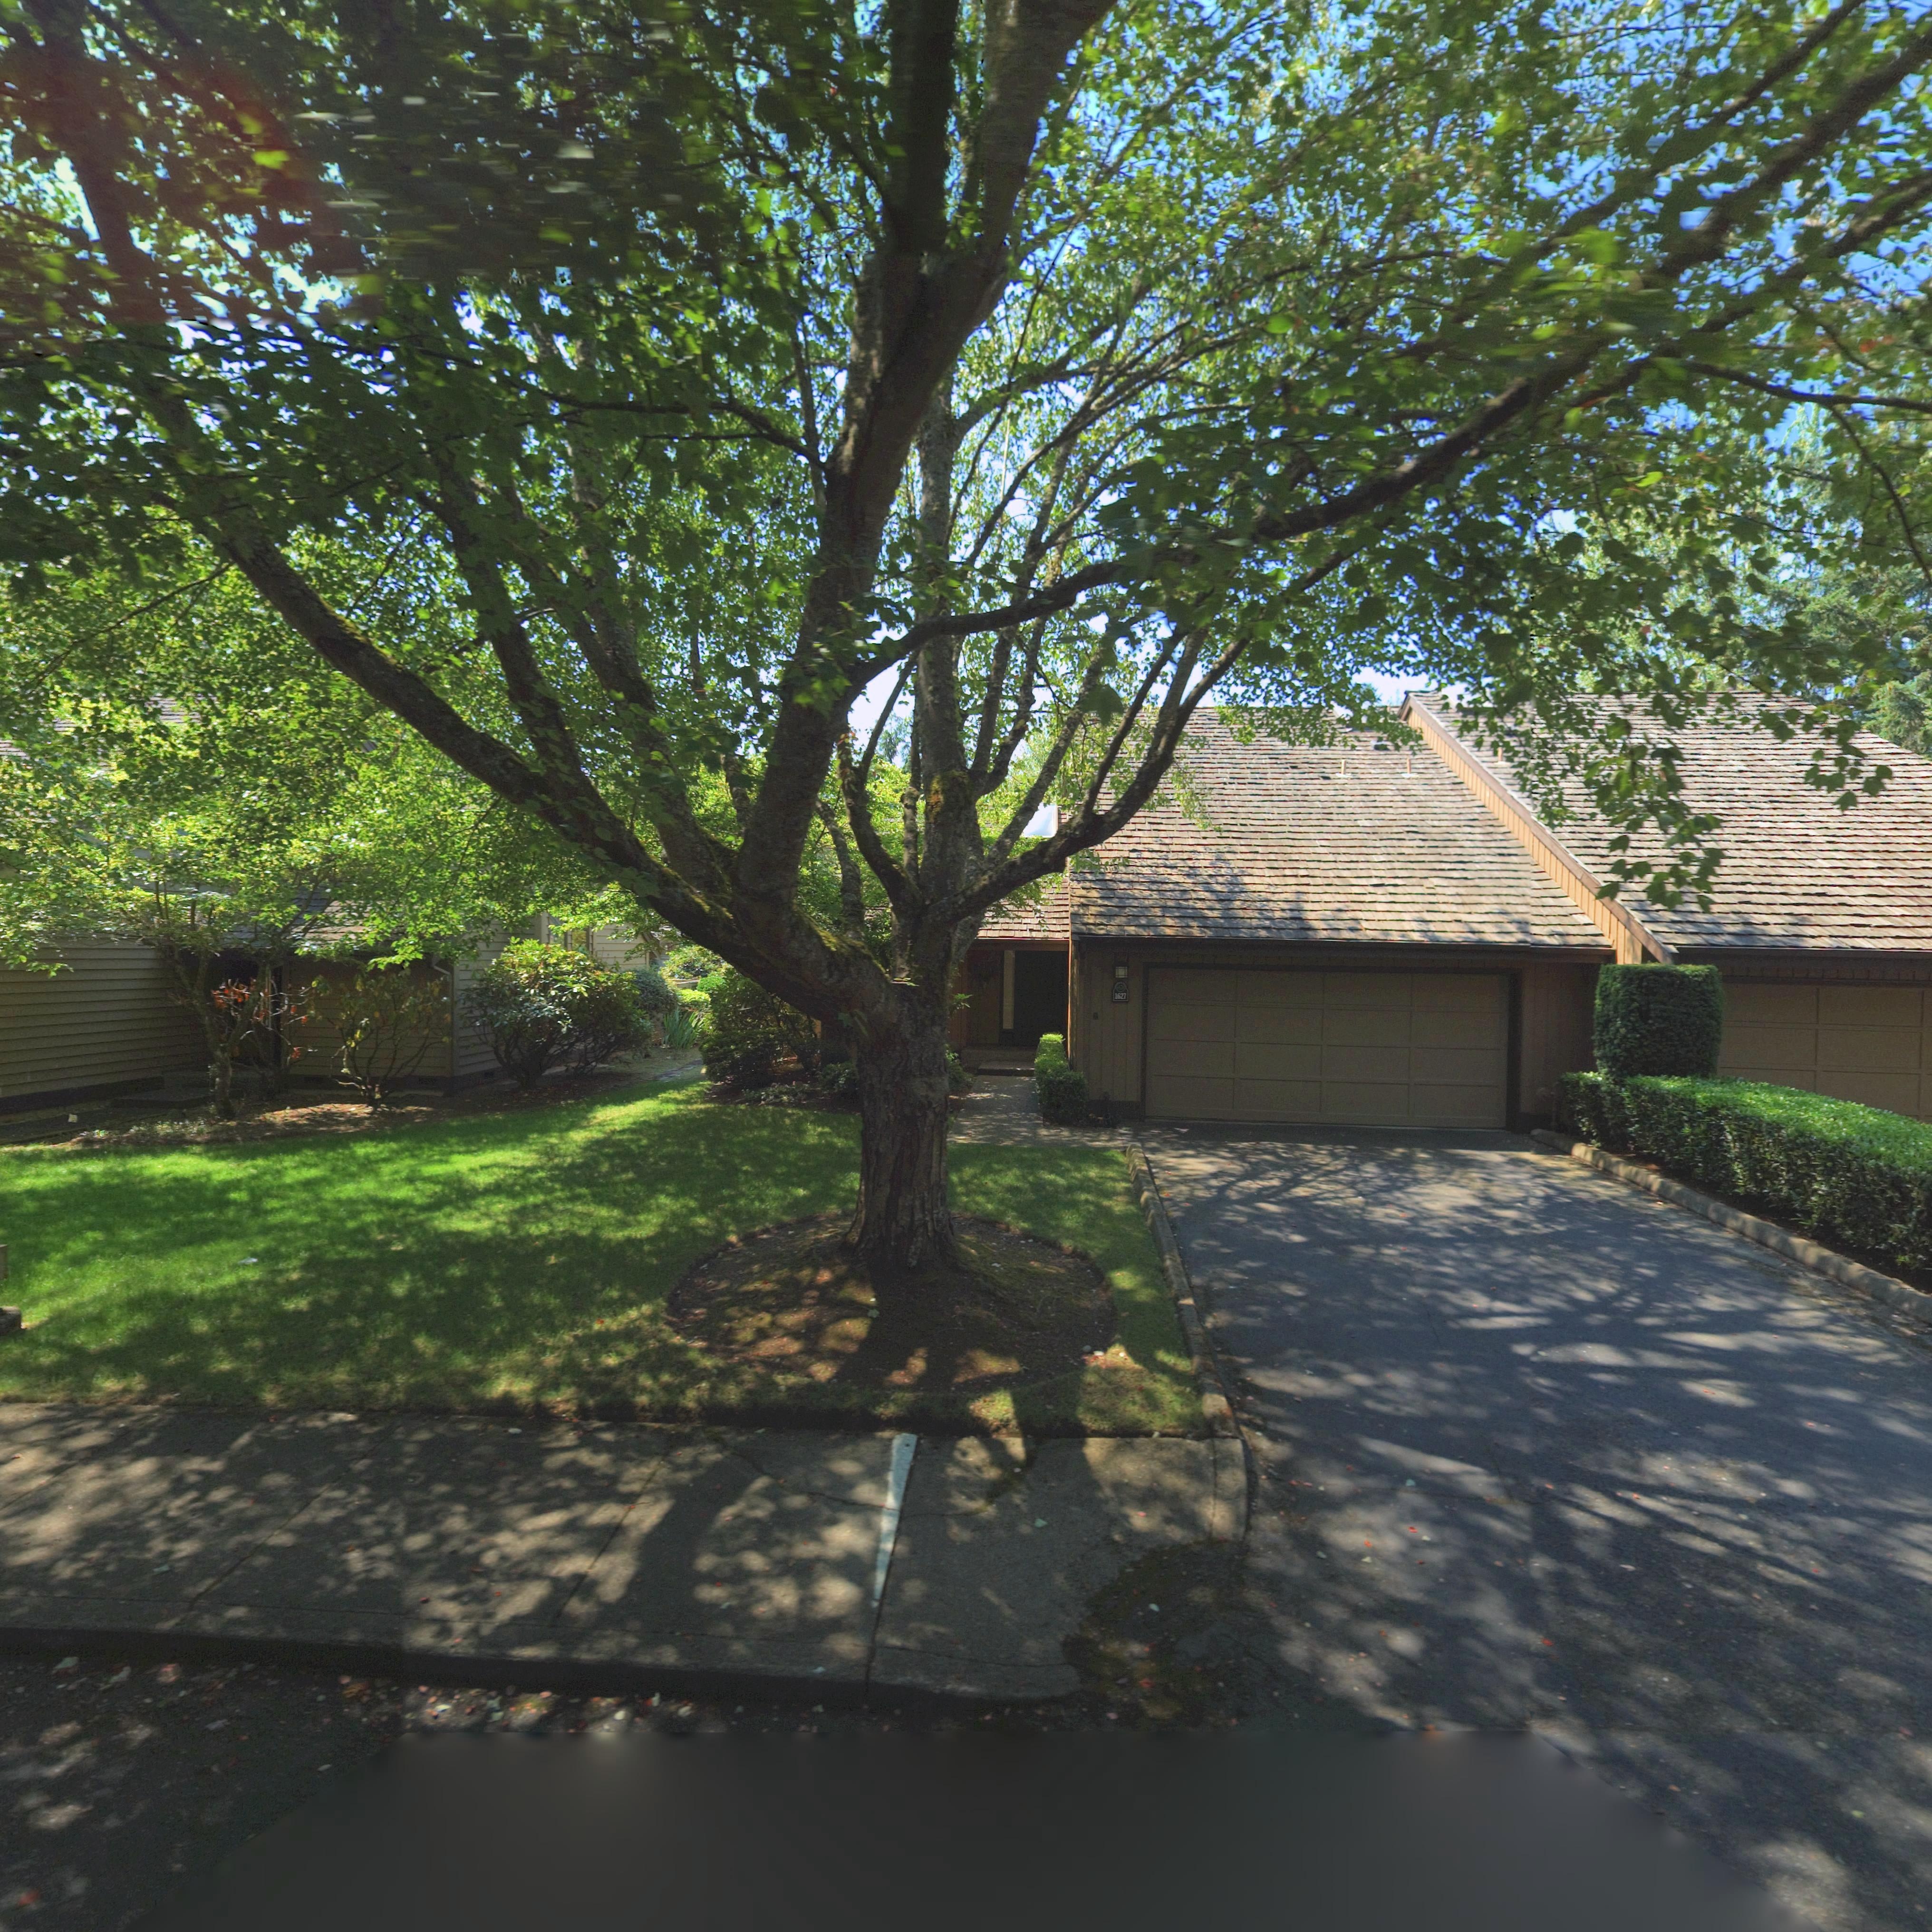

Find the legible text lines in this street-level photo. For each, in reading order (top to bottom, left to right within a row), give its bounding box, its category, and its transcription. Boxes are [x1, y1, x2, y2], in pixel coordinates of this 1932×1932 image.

[1114, 991, 1127, 1000] StreetNumber: 1627